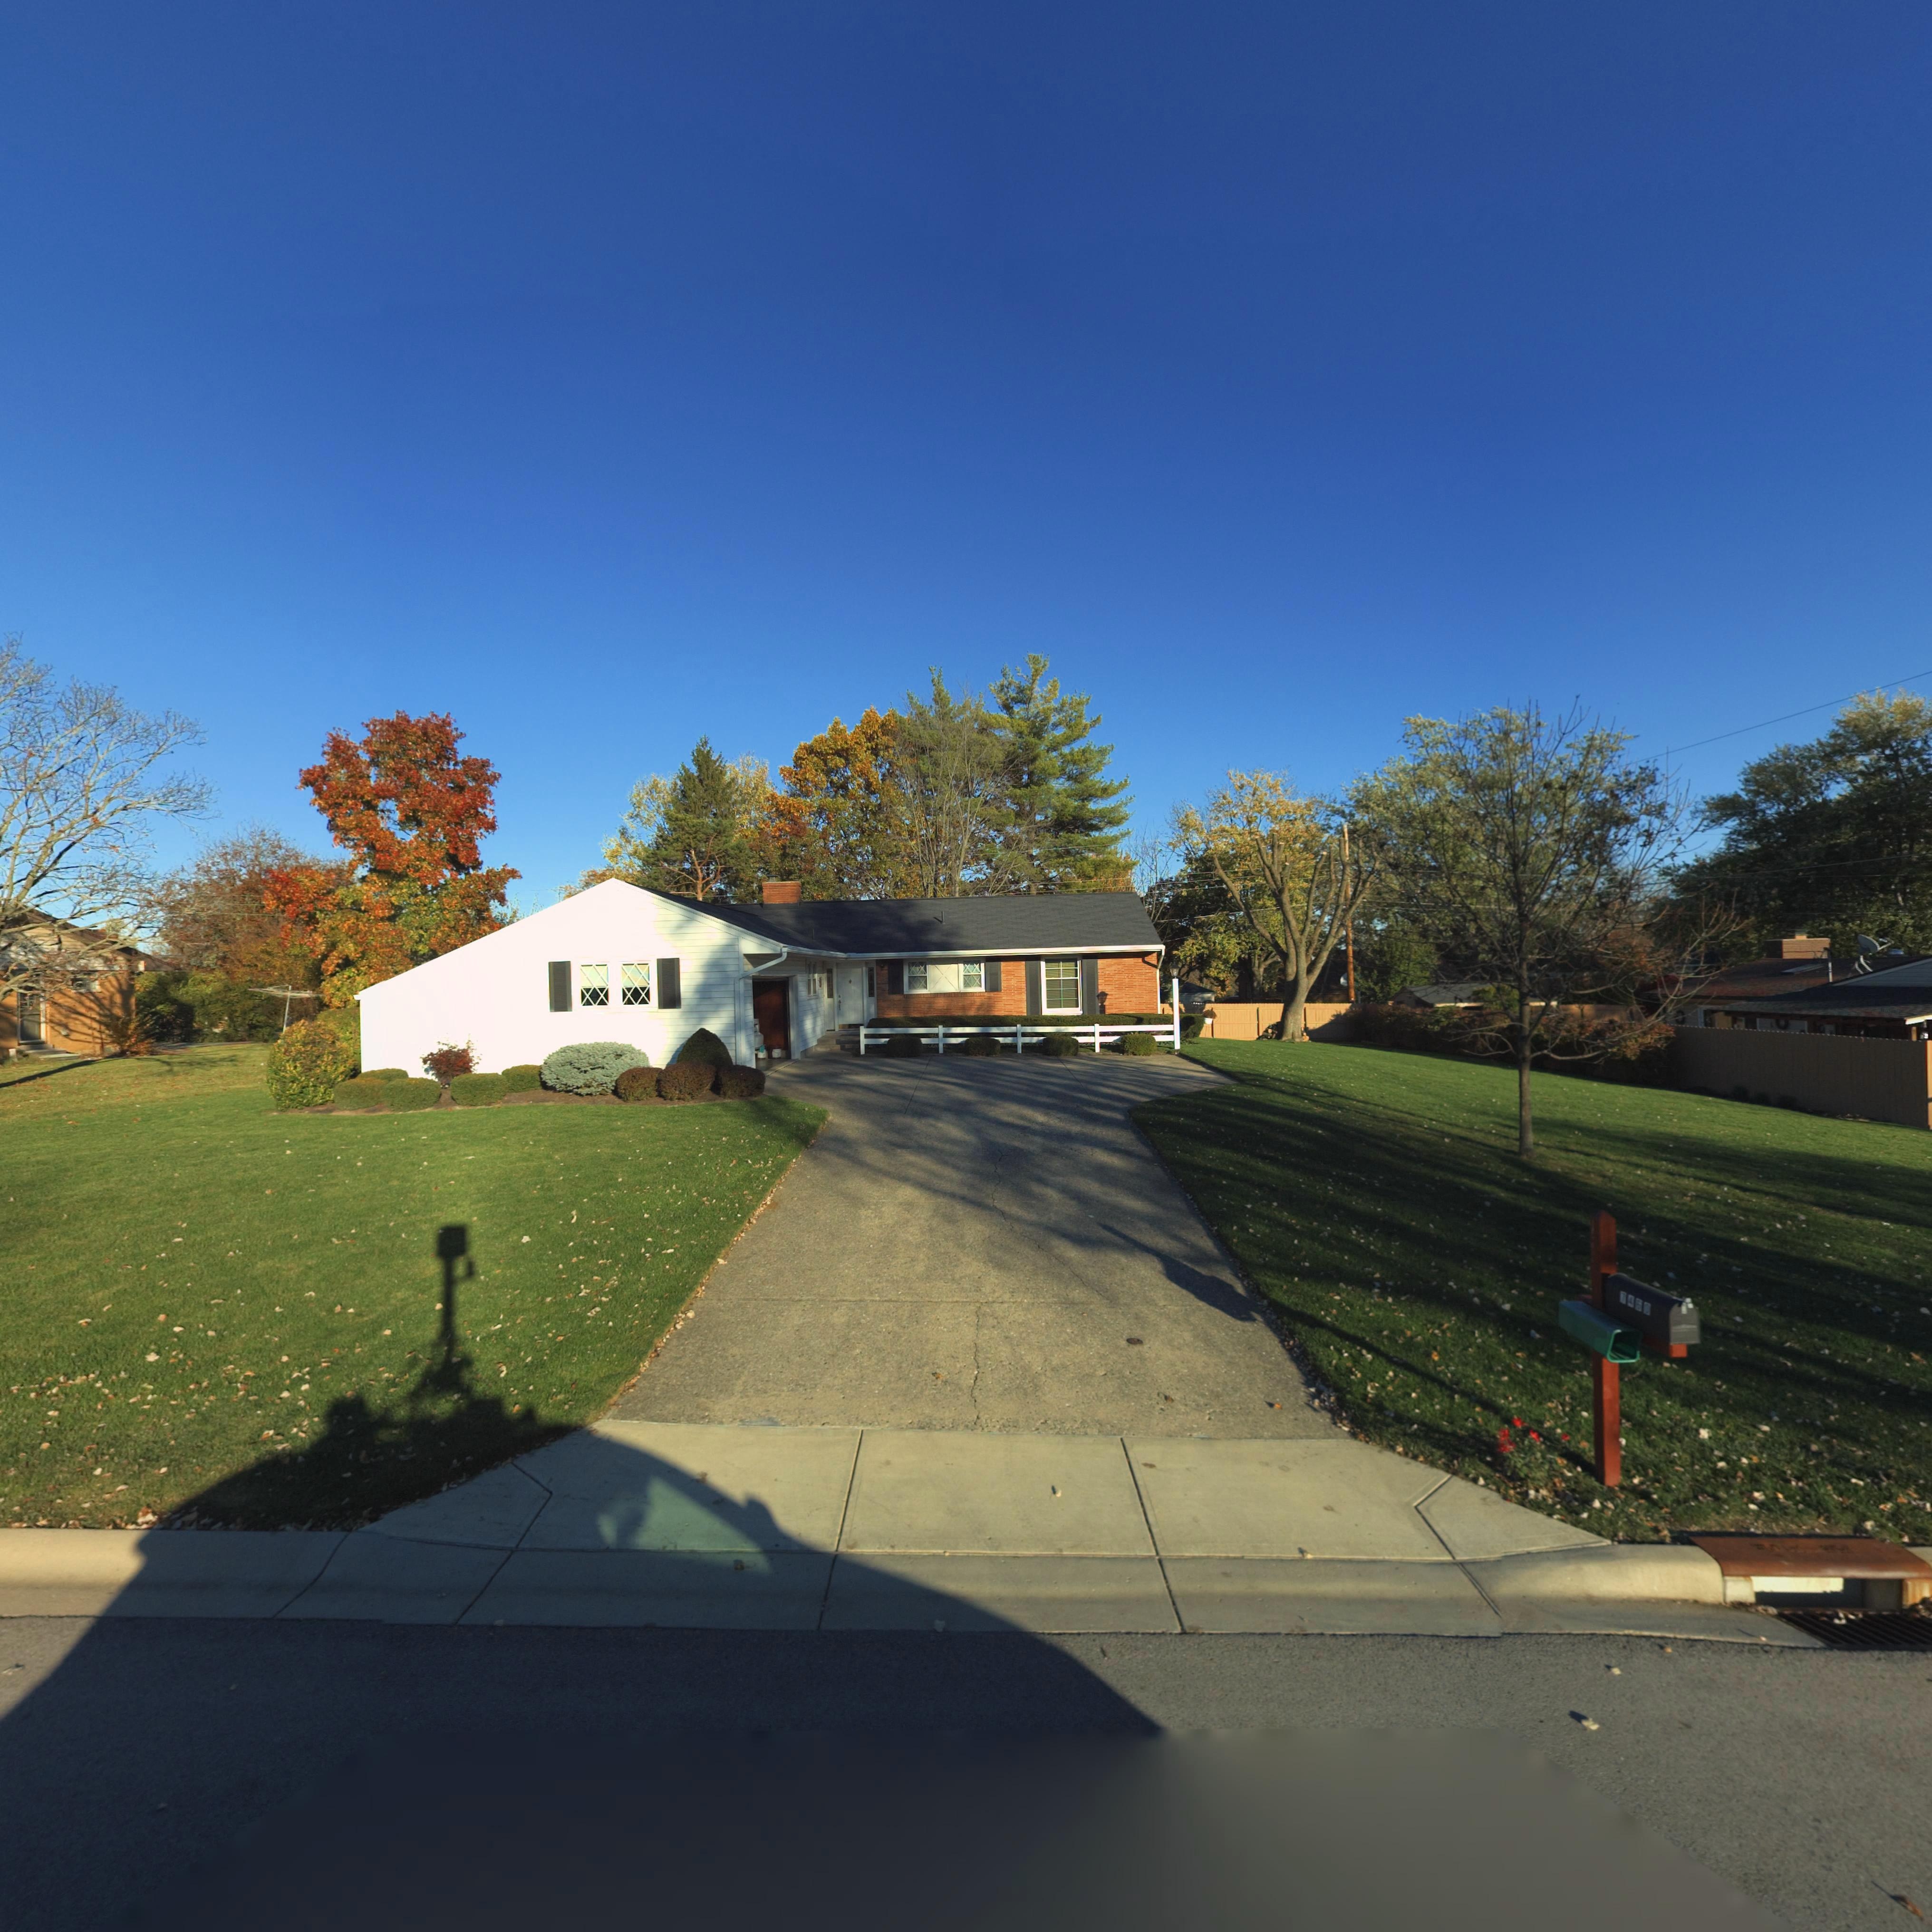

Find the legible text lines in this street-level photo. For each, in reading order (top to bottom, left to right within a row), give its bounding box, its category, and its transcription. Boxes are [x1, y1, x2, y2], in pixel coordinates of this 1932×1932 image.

[1620, 1291, 1651, 1316] StreetNumber: 7450